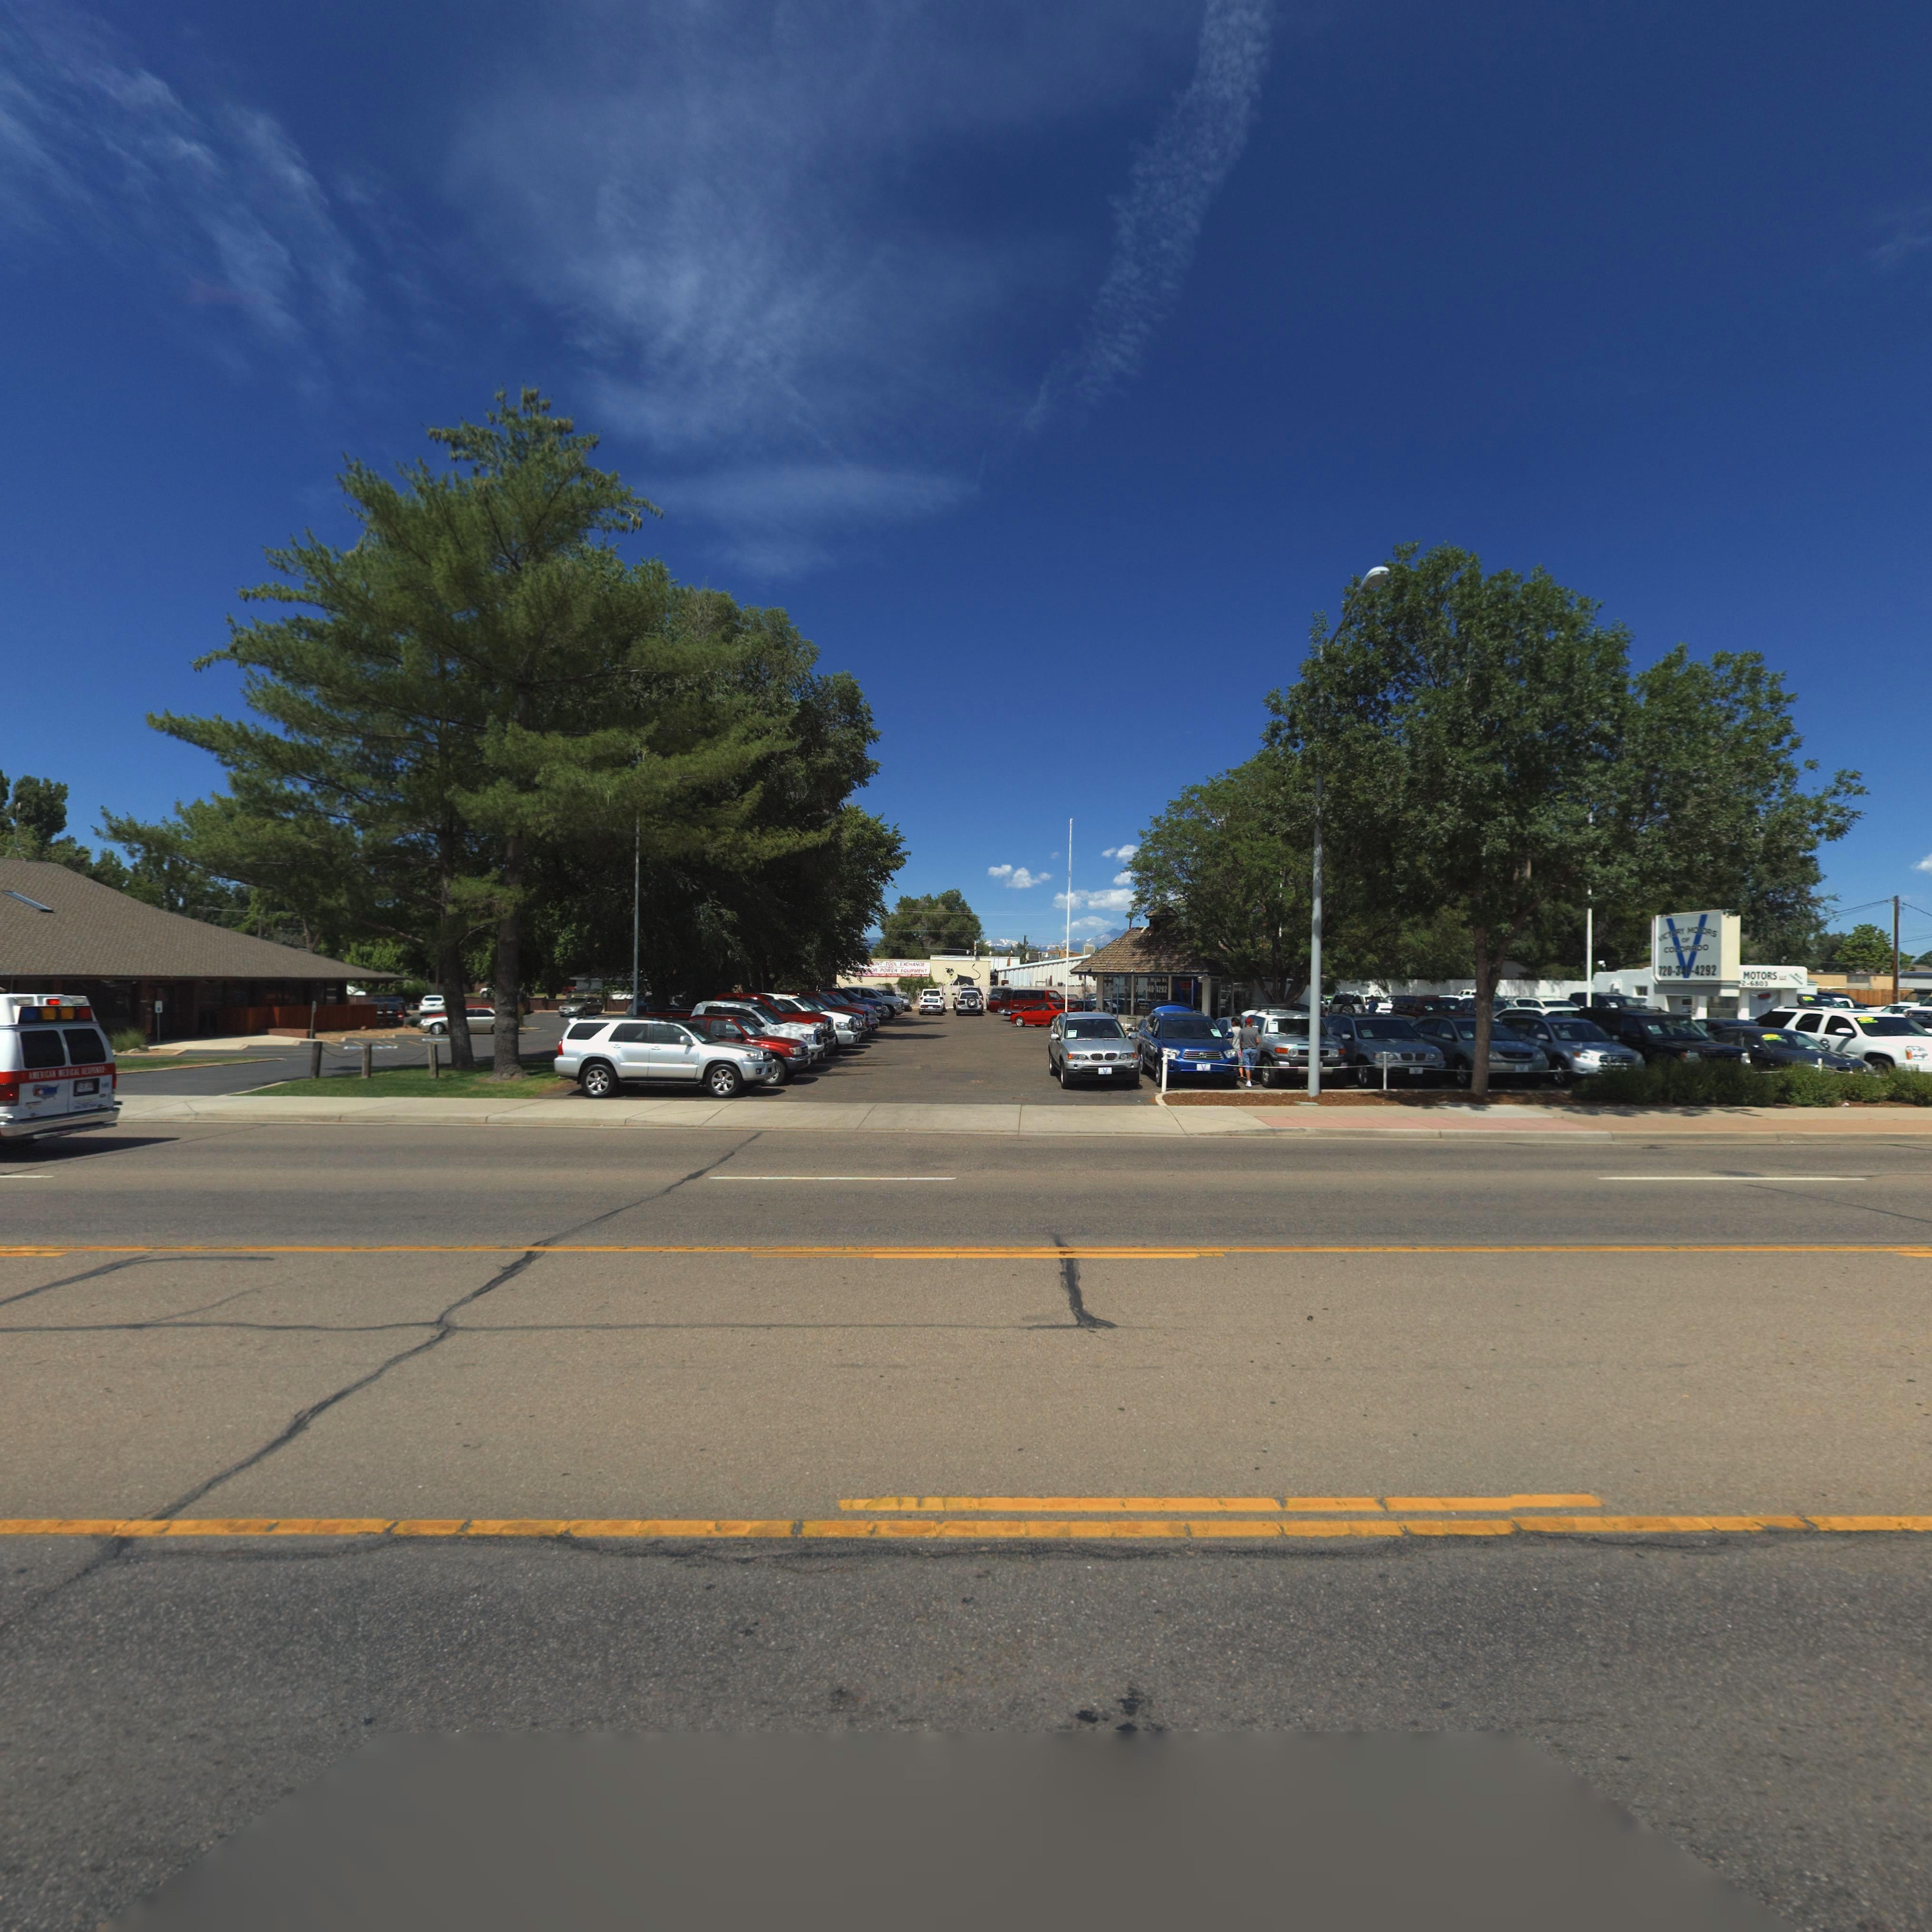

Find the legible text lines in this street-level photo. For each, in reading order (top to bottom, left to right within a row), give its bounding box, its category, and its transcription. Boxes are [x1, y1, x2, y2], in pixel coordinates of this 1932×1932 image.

[1657, 926, 1718, 941] BusinessName: VICTORY MOTORS
[1681, 937, 1690, 943] BusinessName: OF
[1663, 944, 1710, 953] BusinessName: COLORADO
[1150, 976, 1167, 982] StreetName: M**n St
[1743, 971, 1778, 979] BusinessName: MOTORS